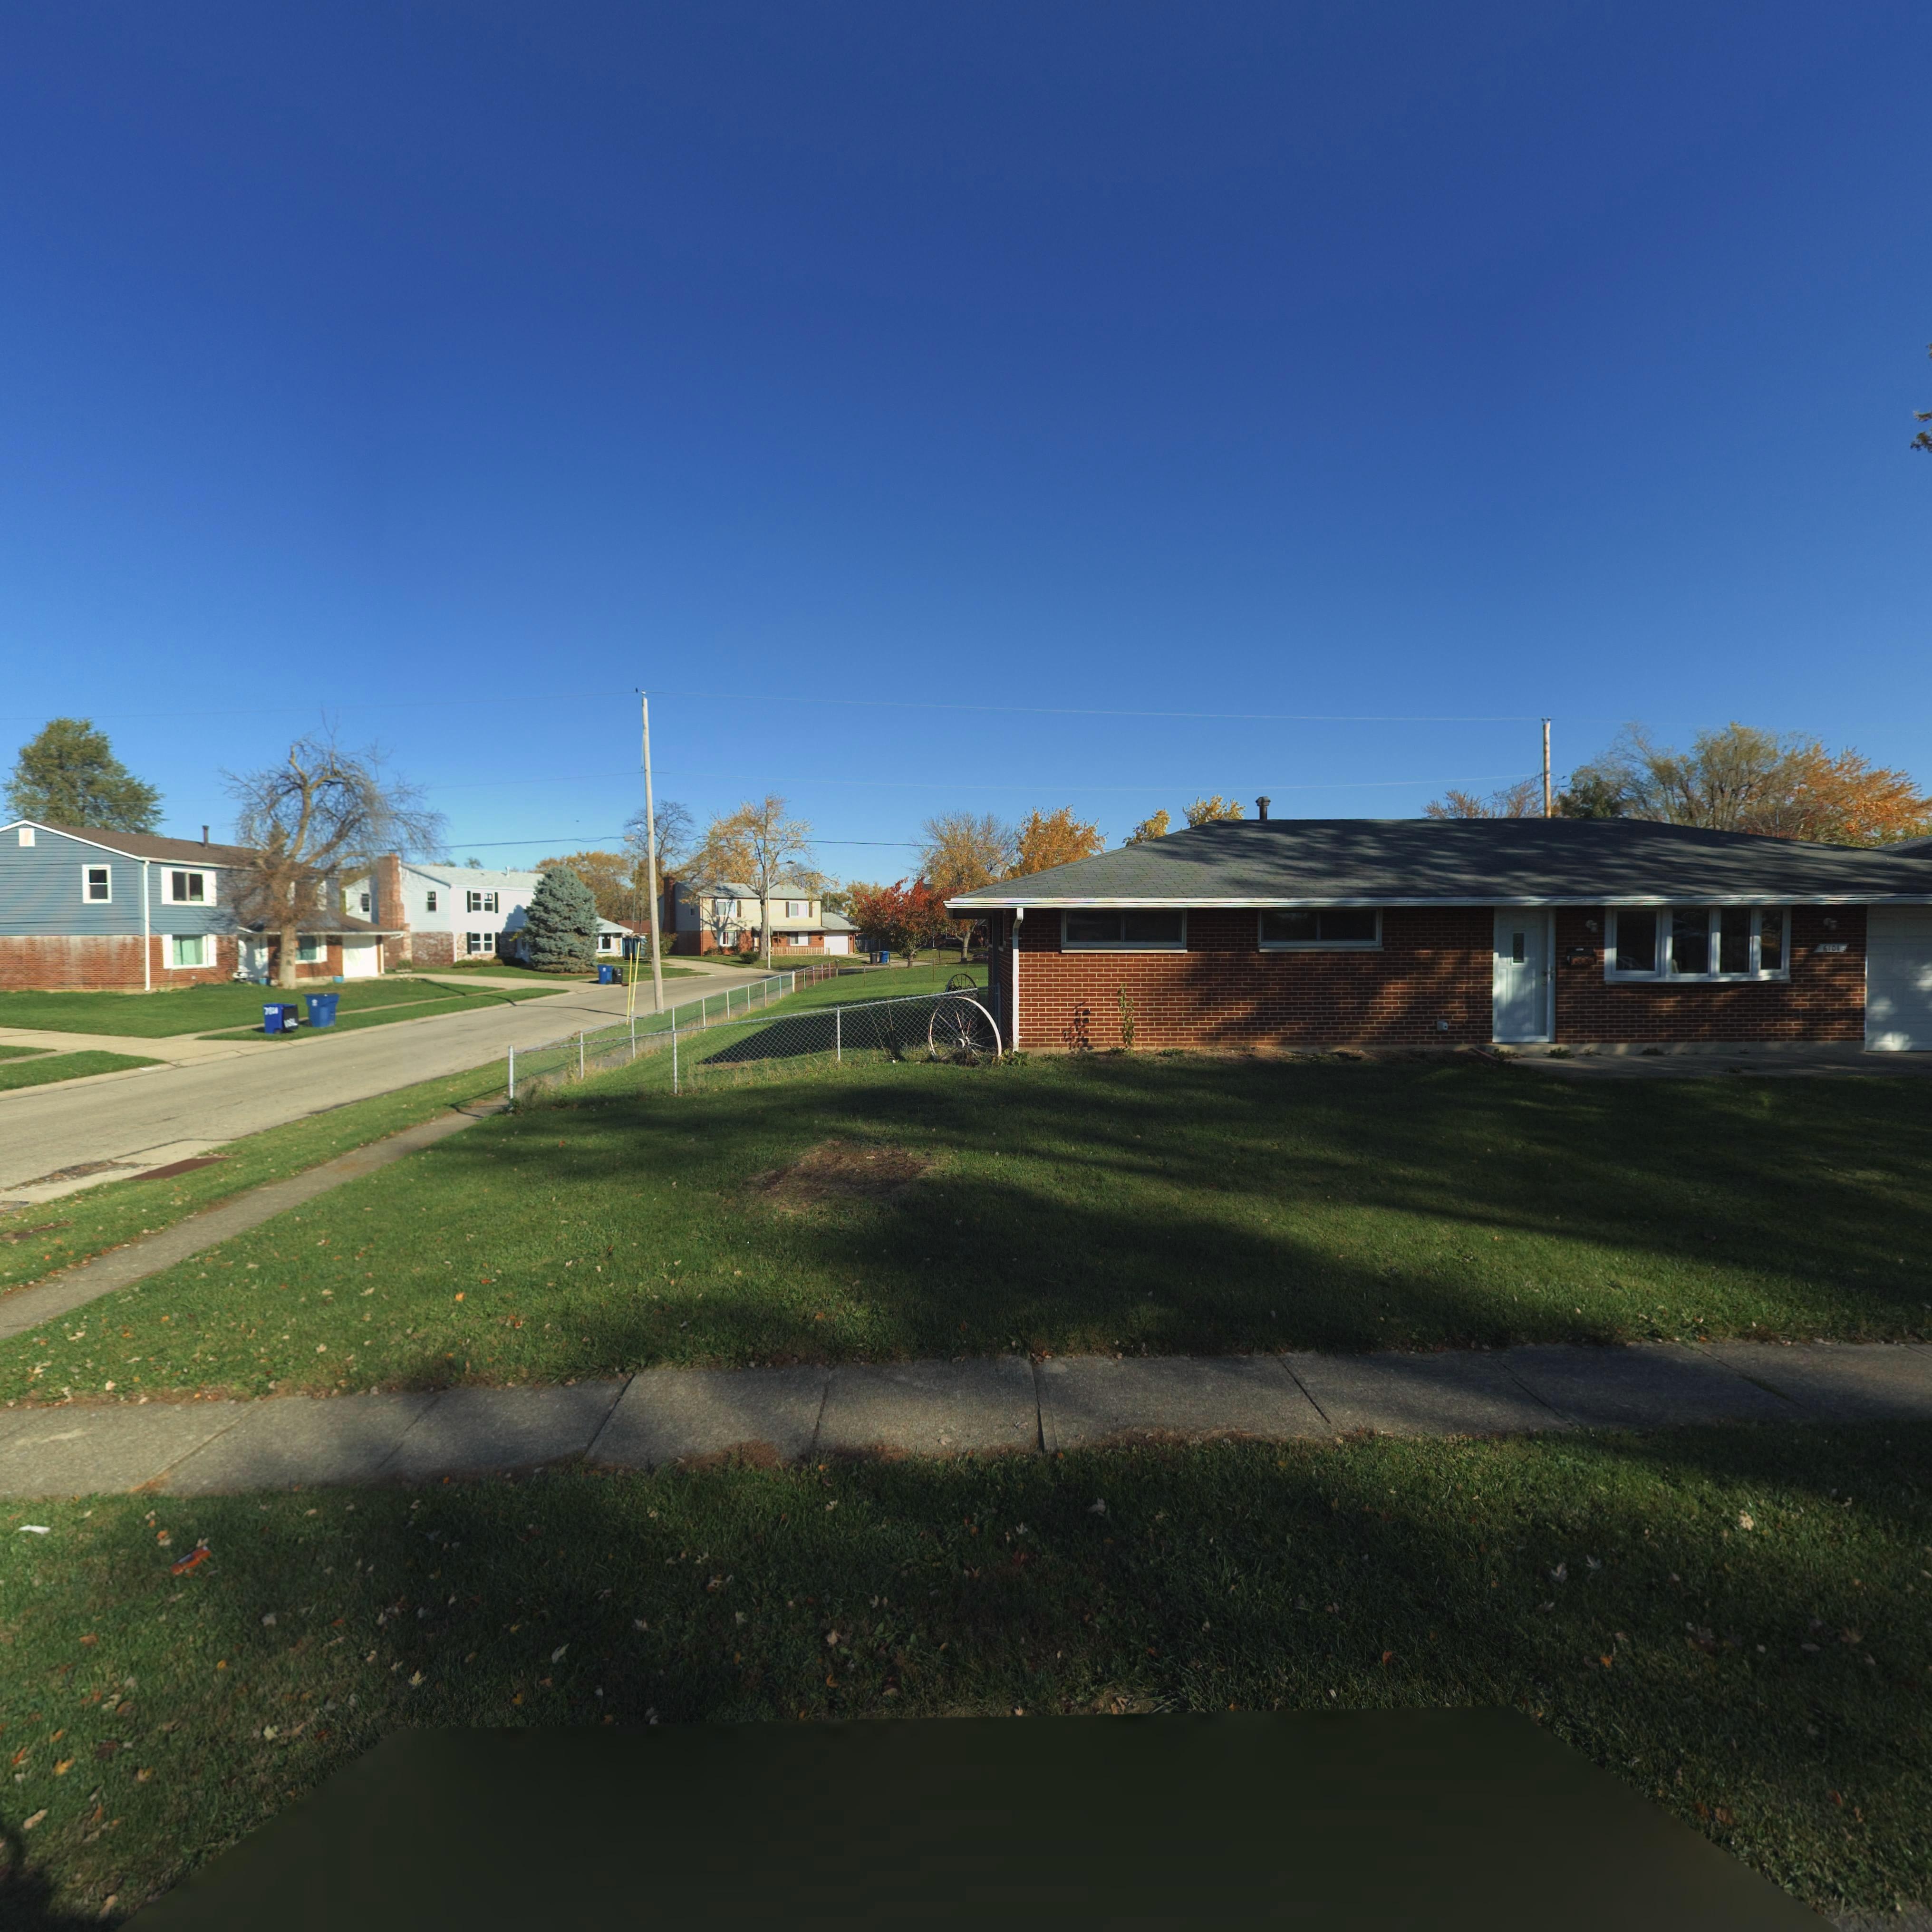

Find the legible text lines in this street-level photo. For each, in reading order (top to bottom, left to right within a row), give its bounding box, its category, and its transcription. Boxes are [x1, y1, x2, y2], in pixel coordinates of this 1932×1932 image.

[1822, 944, 1840, 952] StreetNumber: 6101
[263, 1006, 279, 1016] StreetNumber: 7801
[283, 1017, 299, 1028] StreetNumber: 108*